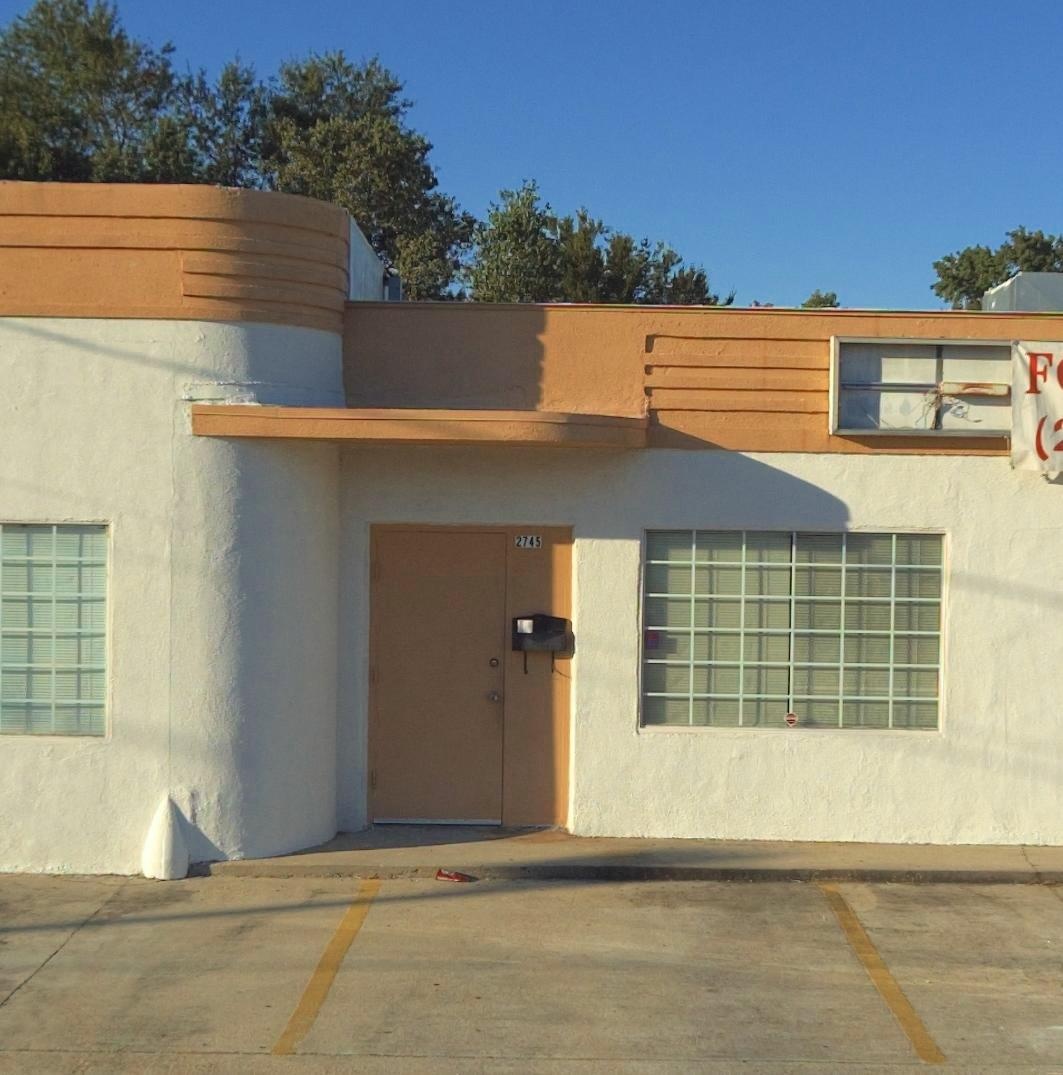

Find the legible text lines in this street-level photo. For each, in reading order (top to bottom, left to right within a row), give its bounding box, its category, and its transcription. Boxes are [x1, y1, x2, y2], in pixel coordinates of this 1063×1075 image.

[1021, 350, 1057, 398] None: F
[514, 534, 542, 549] StreetNumber: 2745